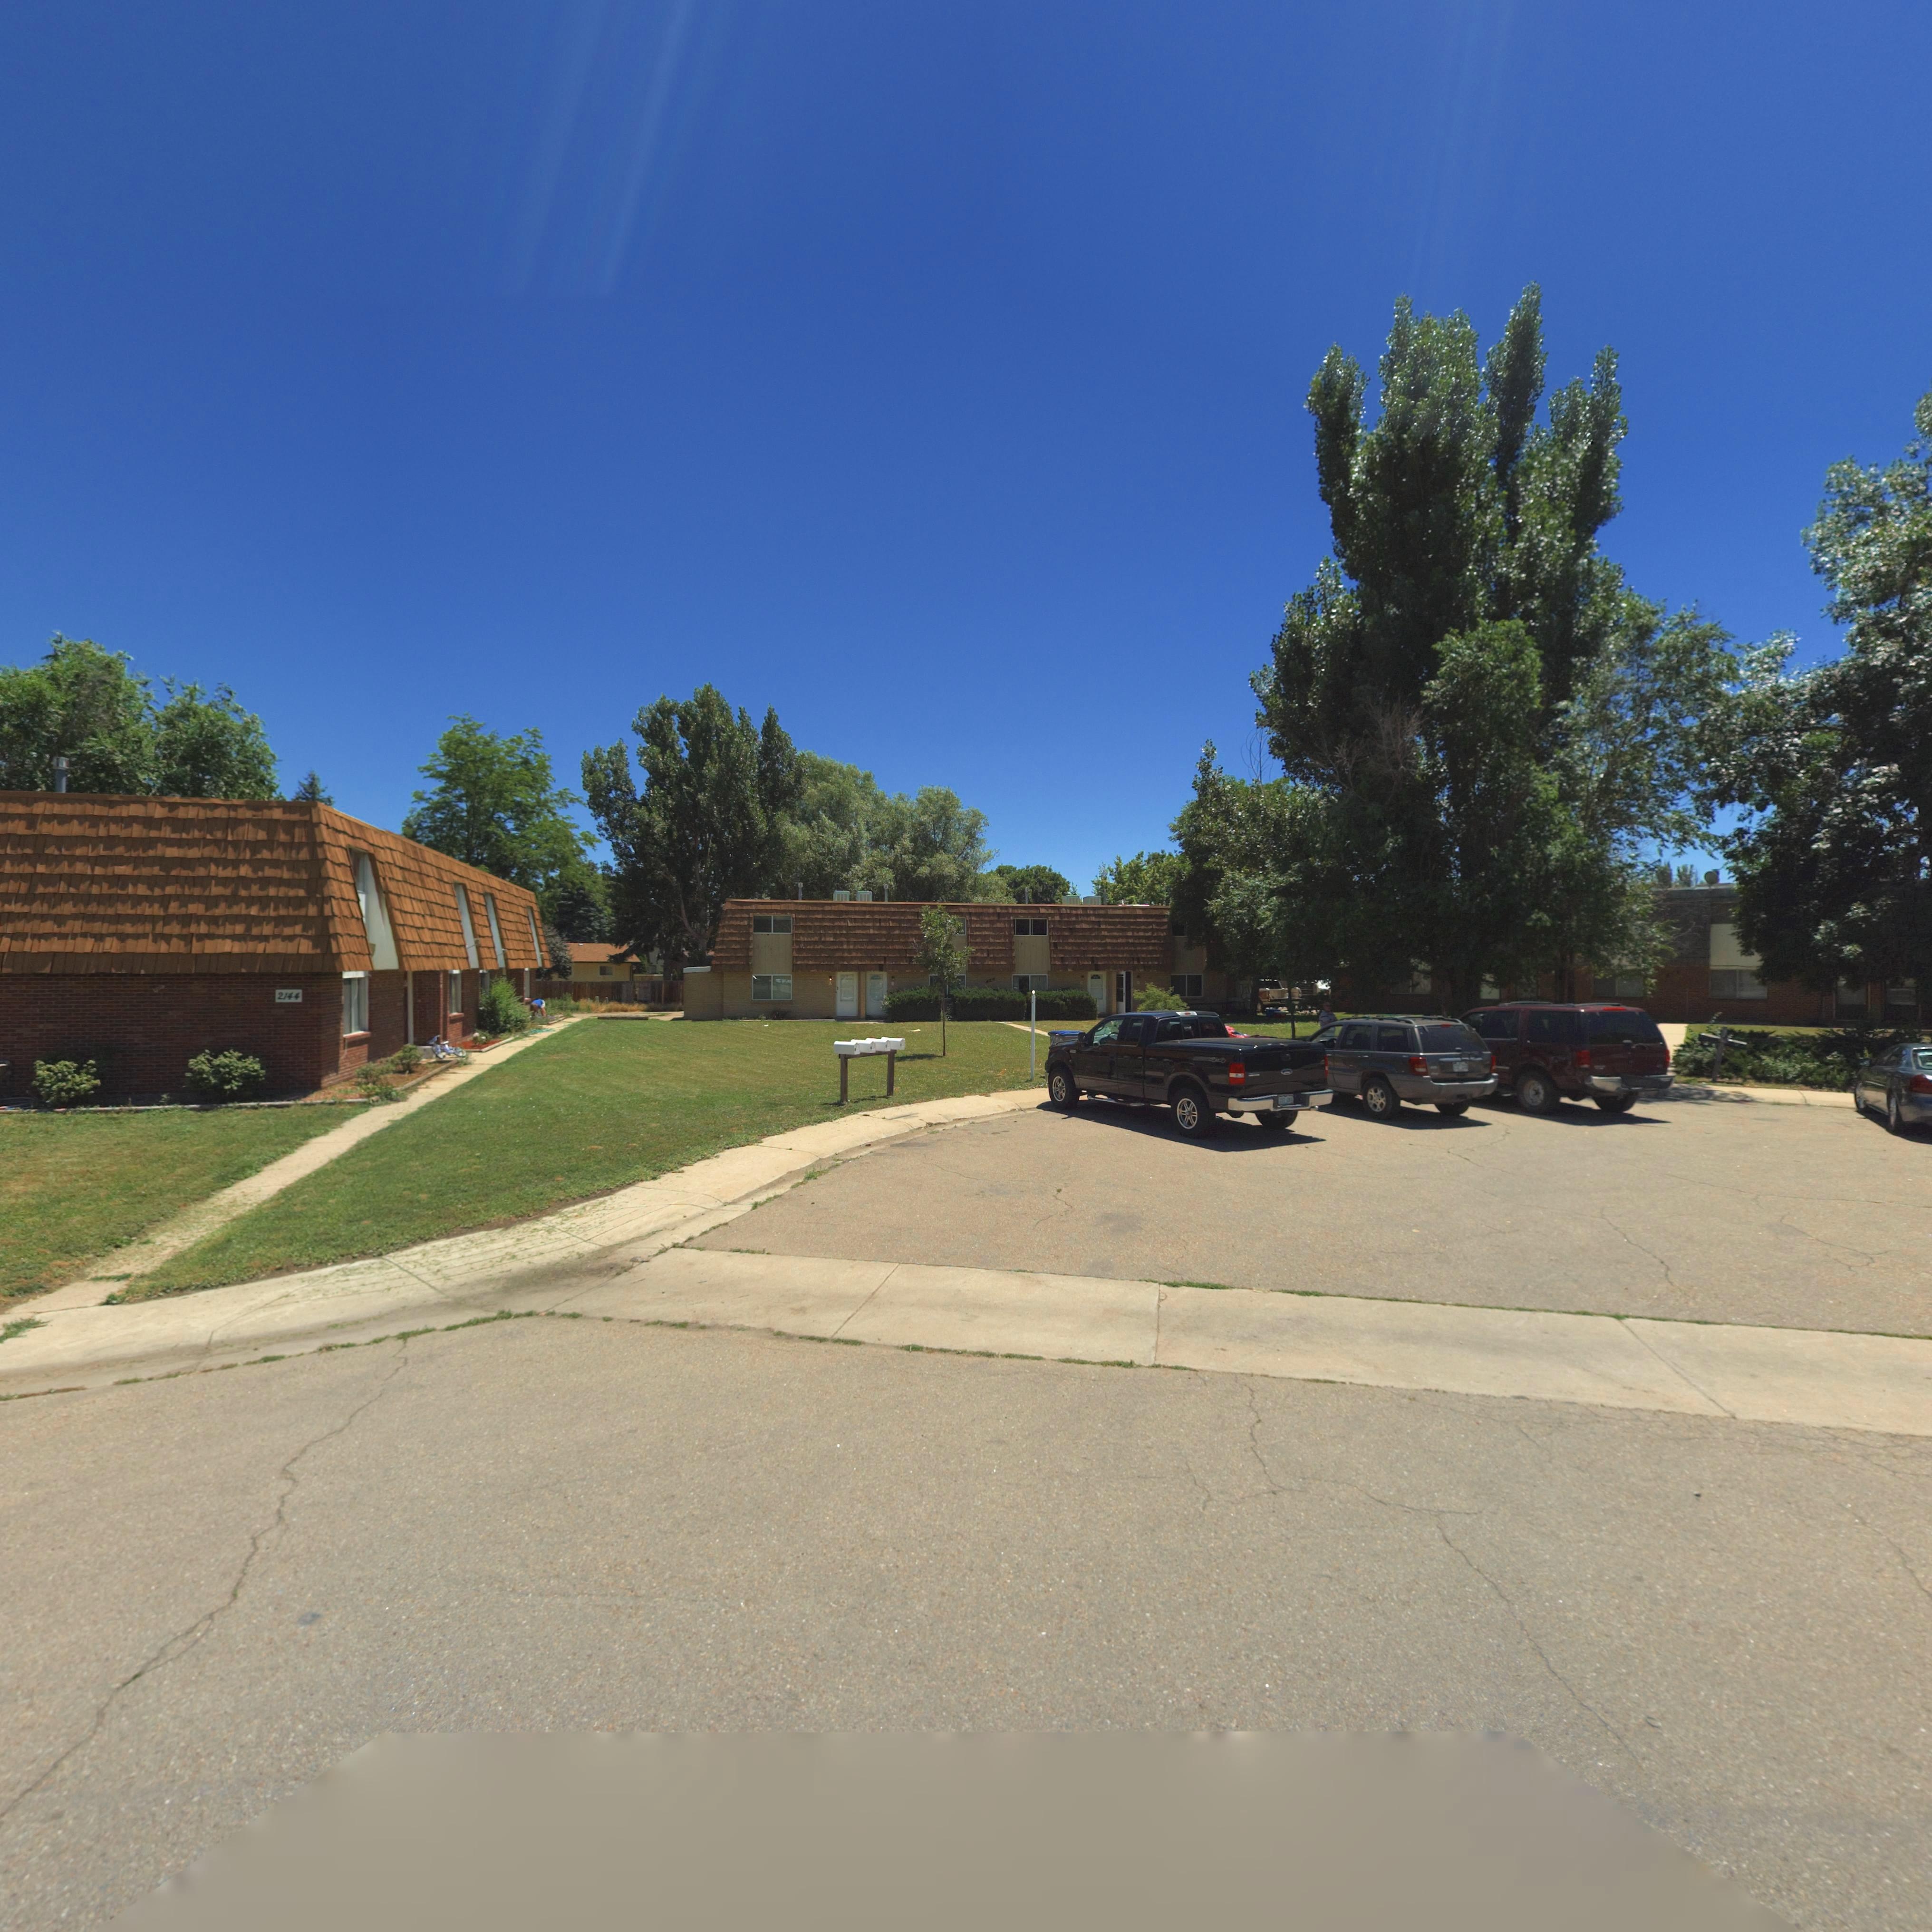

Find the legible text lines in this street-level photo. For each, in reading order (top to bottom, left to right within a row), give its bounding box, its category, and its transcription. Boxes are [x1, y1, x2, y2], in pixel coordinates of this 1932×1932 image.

[277, 991, 300, 1000] StreetNumber: 2144